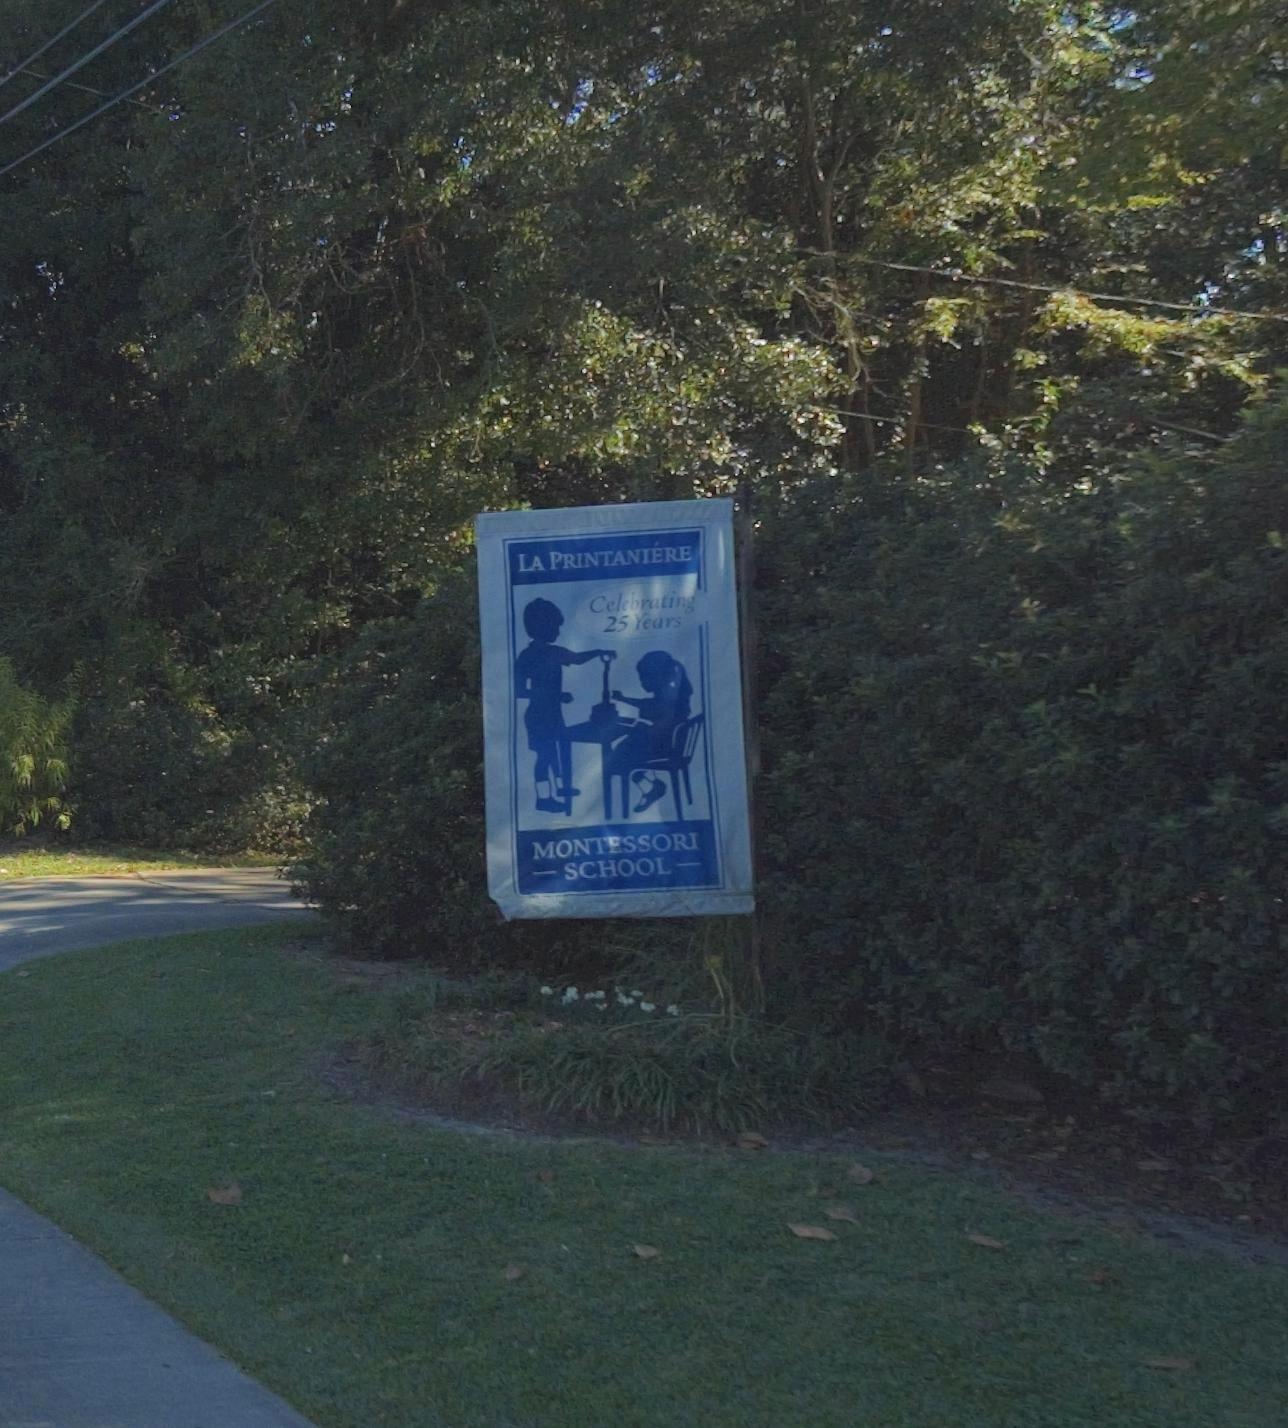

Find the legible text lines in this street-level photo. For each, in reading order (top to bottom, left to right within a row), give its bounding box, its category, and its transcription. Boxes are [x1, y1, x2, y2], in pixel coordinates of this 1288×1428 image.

[516, 542, 697, 575] BusinessName: LA PRINTANIERE
[586, 590, 699, 616] None: Celebrating
[601, 613, 683, 634] None: 25 Years
[532, 829, 704, 862] None: MONTESSORI
[562, 855, 677, 884] None: SCHOOL